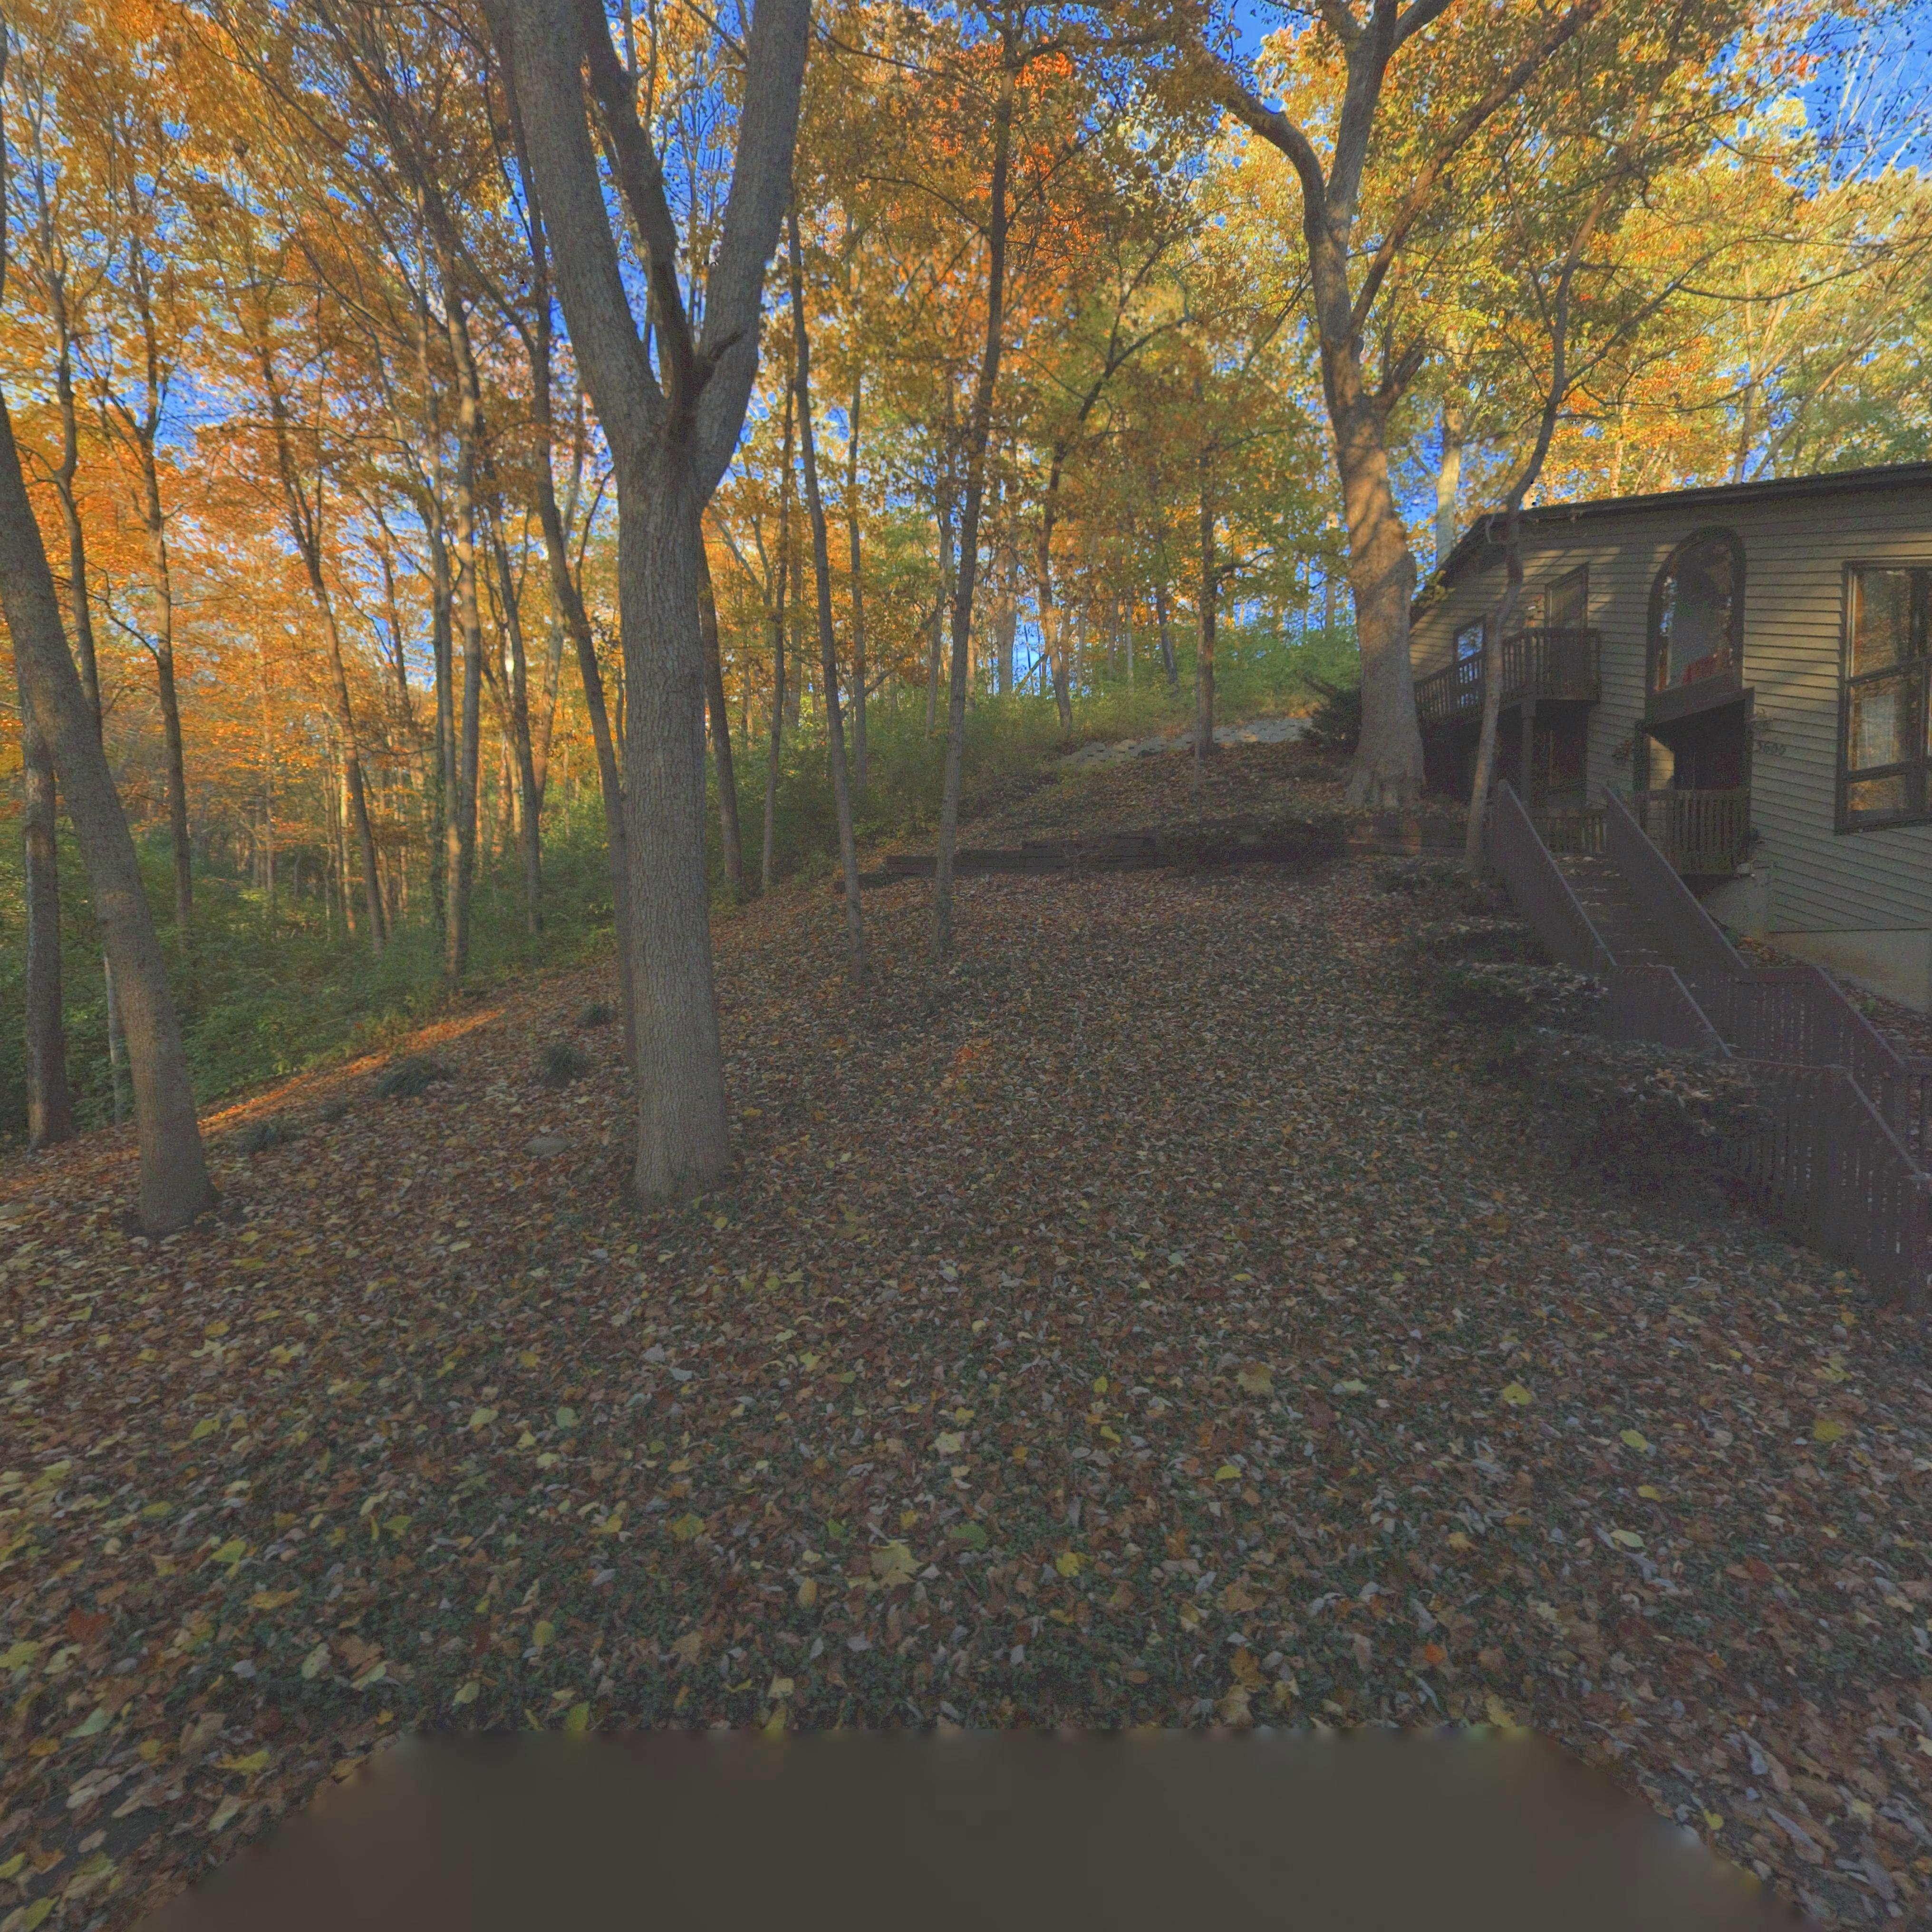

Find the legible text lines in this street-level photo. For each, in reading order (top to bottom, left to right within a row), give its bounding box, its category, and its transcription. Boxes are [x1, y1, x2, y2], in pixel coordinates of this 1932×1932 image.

[1752, 740, 1787, 756] StreetNumber: 3600